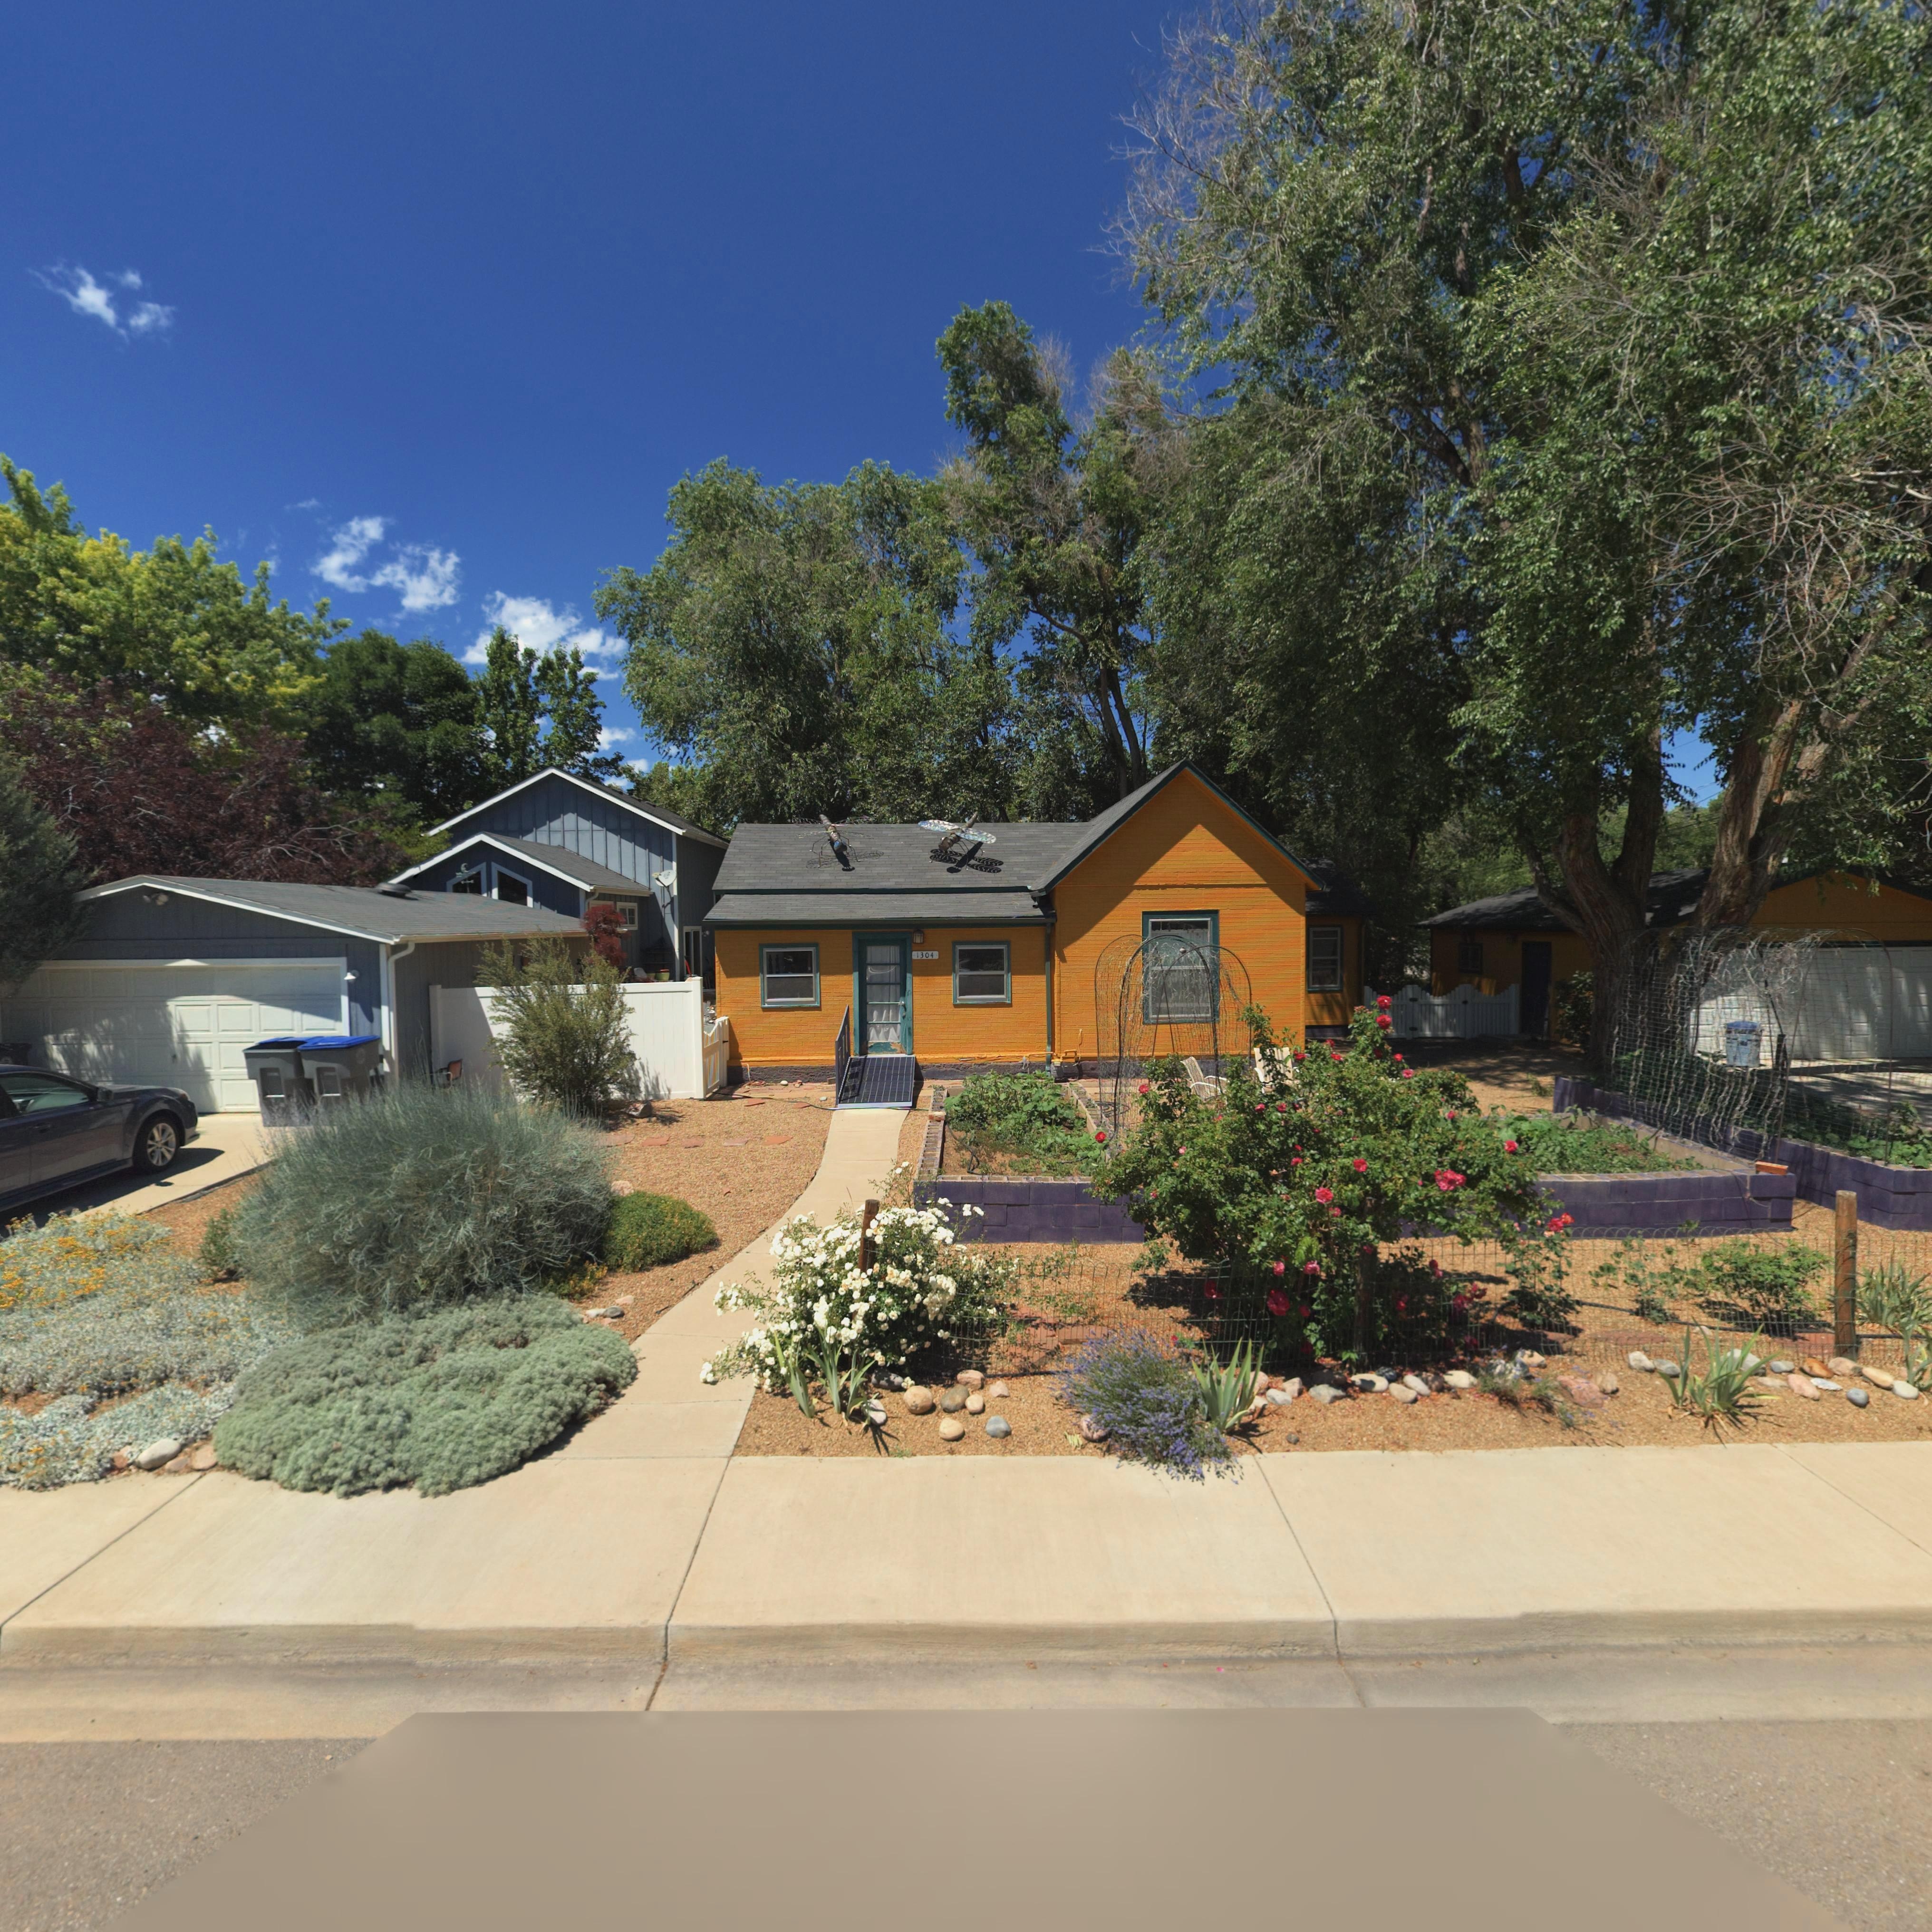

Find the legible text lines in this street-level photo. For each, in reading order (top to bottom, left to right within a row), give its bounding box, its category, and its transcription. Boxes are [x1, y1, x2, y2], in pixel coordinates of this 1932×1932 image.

[916, 951, 934, 958] StreetNumber: 1304